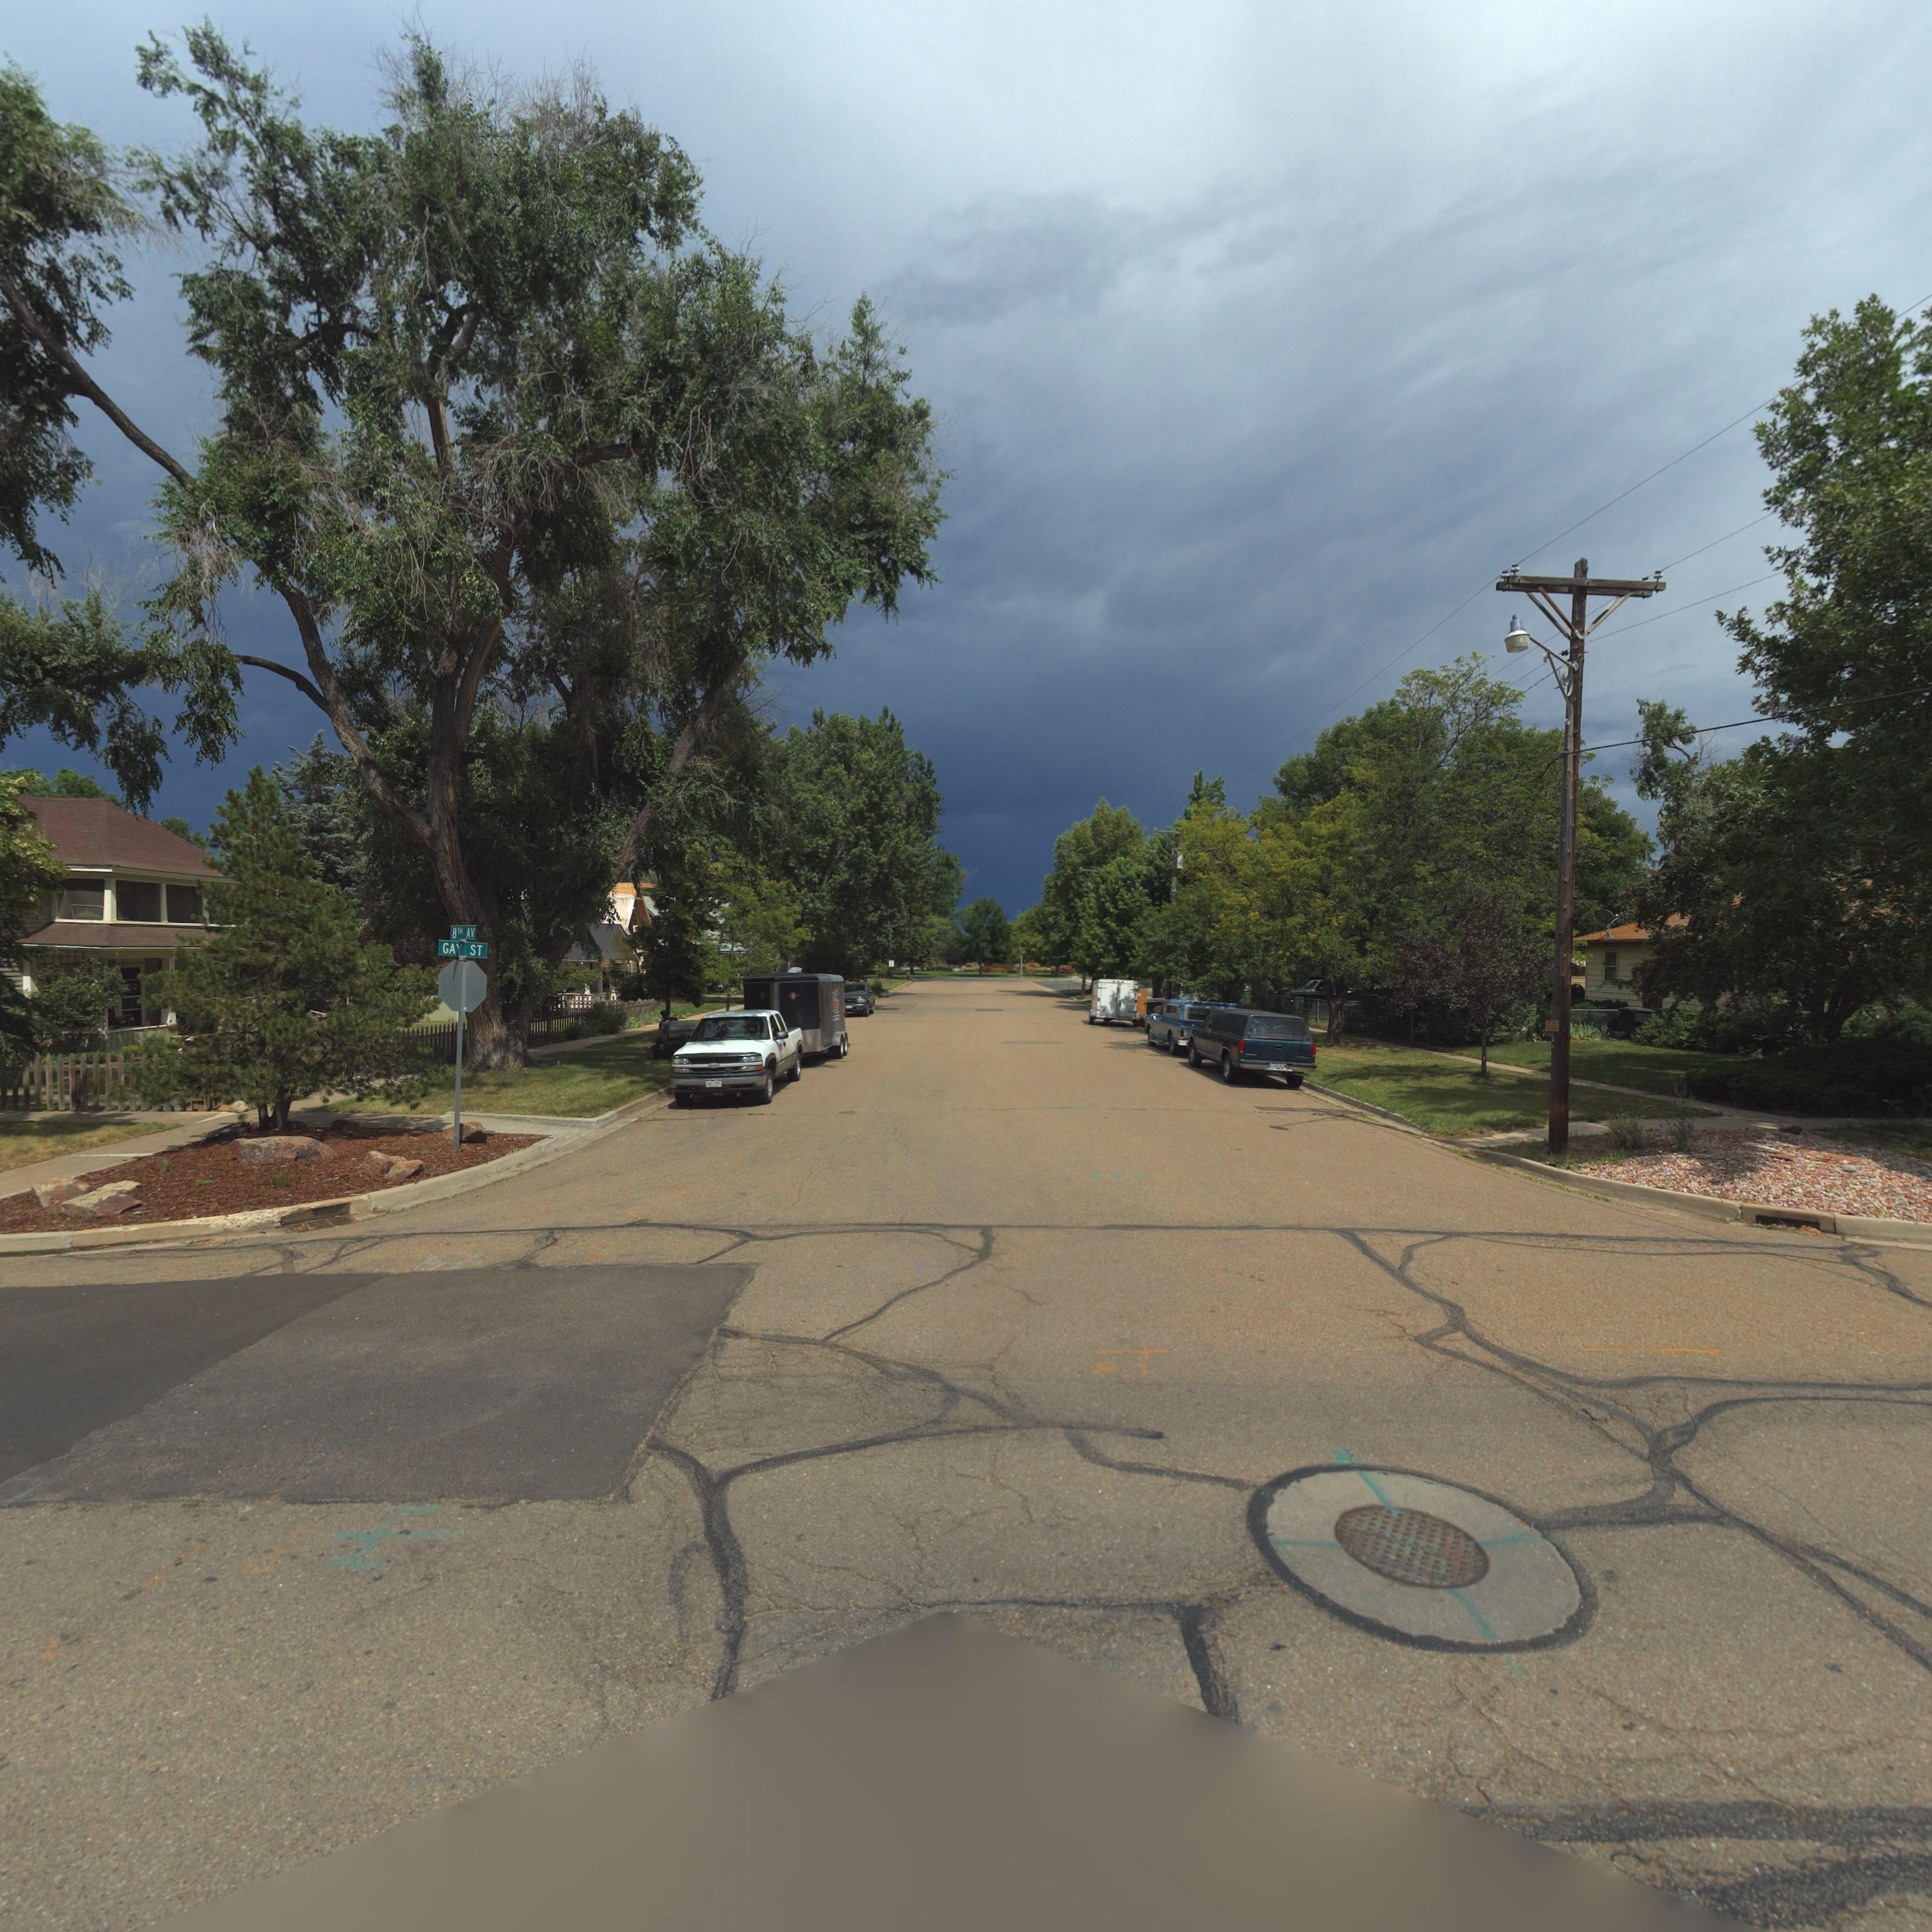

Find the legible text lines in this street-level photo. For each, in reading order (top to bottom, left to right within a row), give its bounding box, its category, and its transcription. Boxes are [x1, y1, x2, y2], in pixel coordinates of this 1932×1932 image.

[452, 927, 475, 939] StreetName: 8TH AV
[442, 941, 483, 956] StreetName: GAY ST